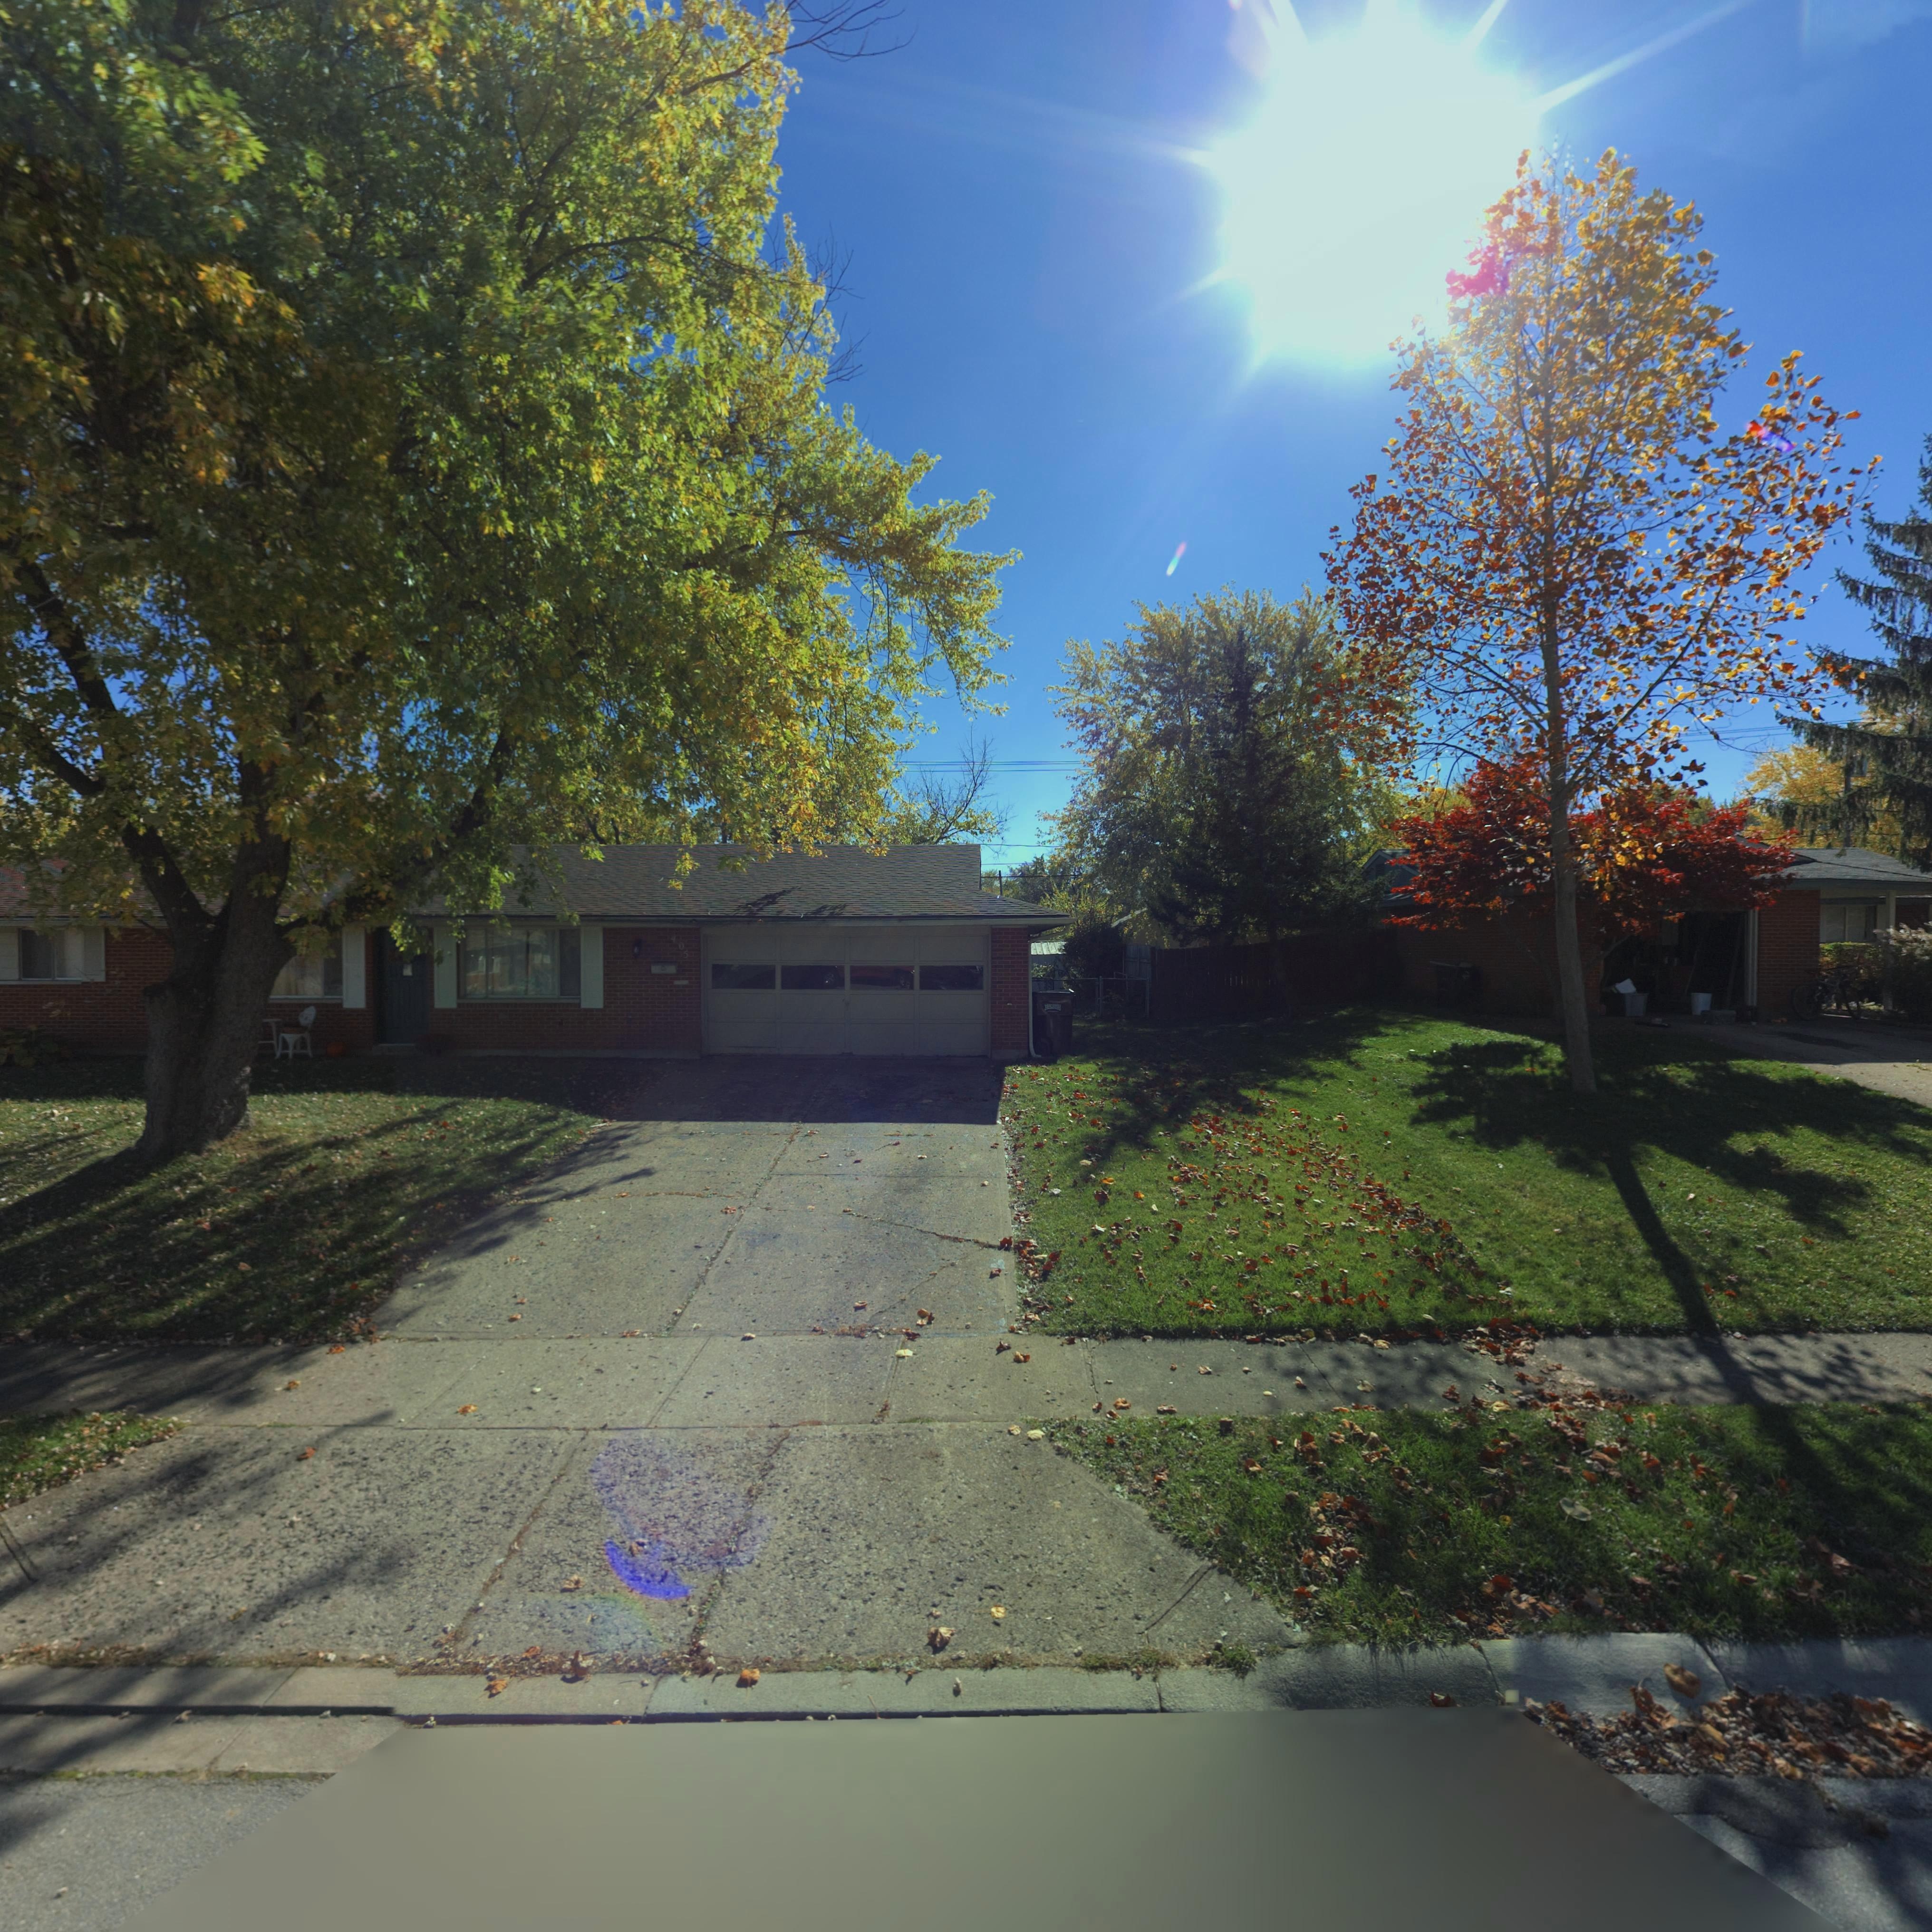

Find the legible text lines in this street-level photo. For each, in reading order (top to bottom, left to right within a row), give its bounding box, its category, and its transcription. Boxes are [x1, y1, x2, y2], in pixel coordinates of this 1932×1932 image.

[670, 933, 689, 959] StreetNumber: 405